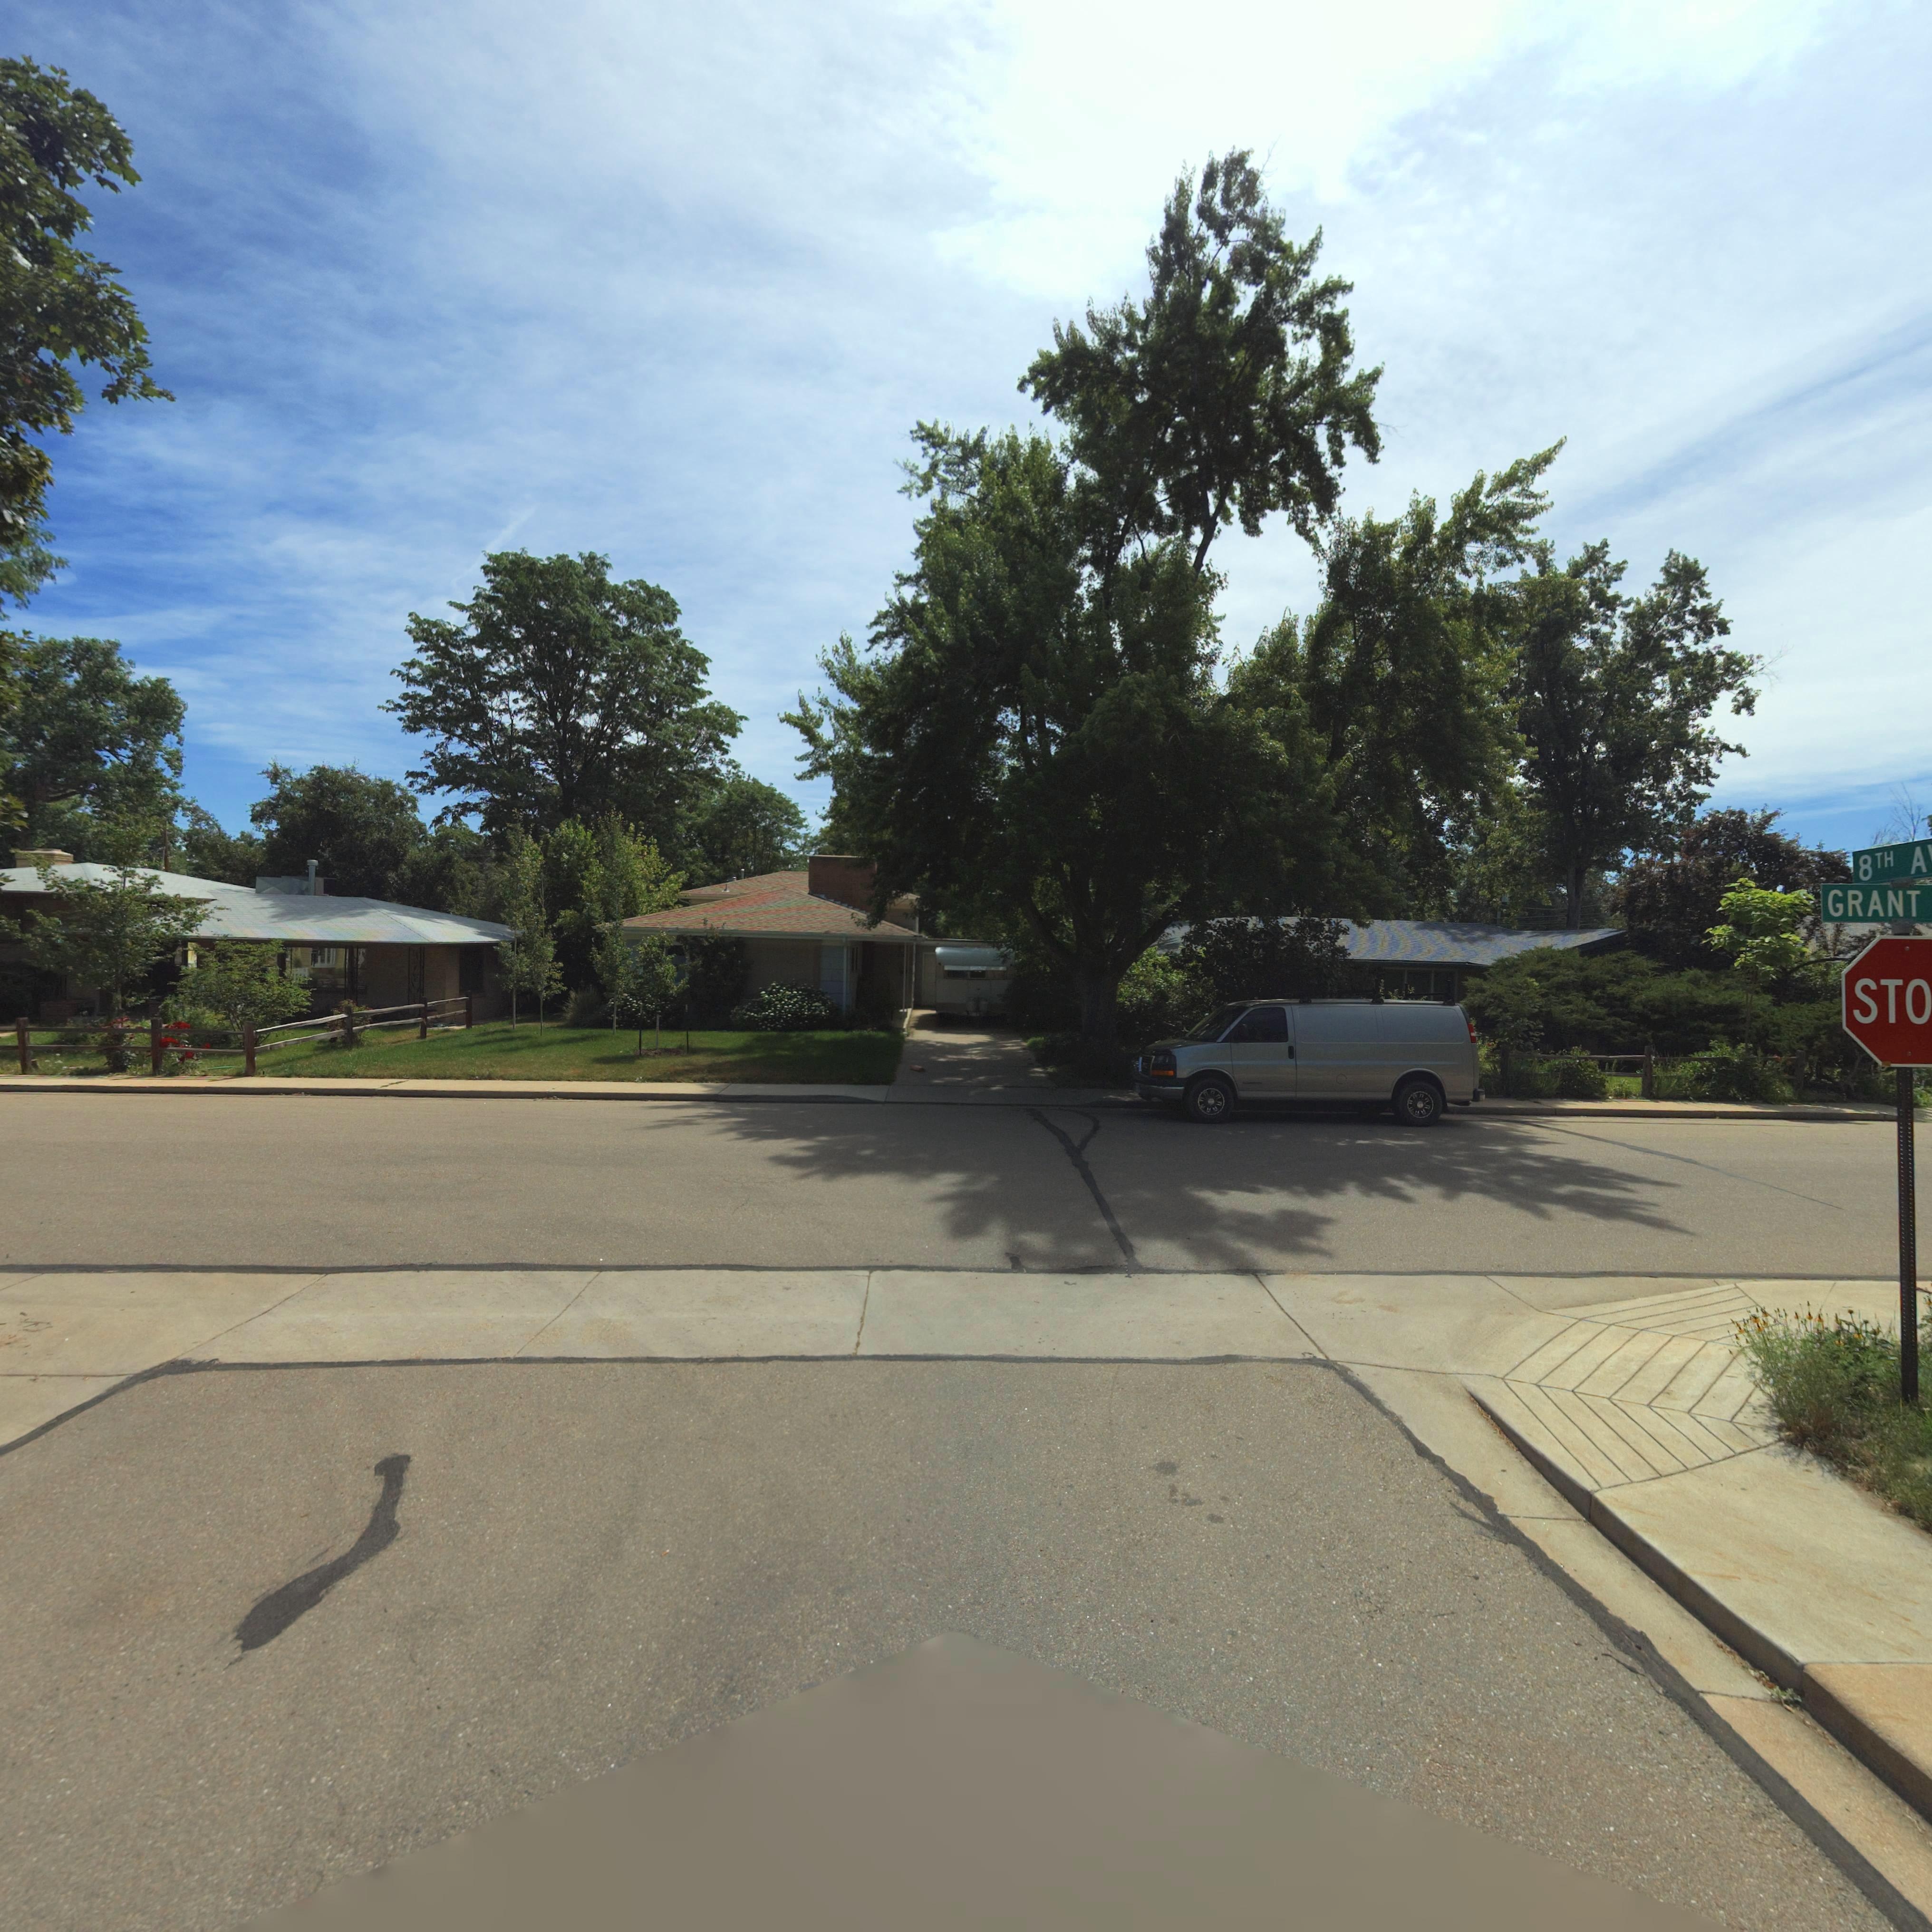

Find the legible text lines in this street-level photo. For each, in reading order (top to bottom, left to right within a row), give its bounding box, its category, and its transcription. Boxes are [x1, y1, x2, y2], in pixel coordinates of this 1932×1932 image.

[1856, 844, 1929, 882] StreetName: 8TH A
[1825, 889, 1922, 918] StreetName: GRANT